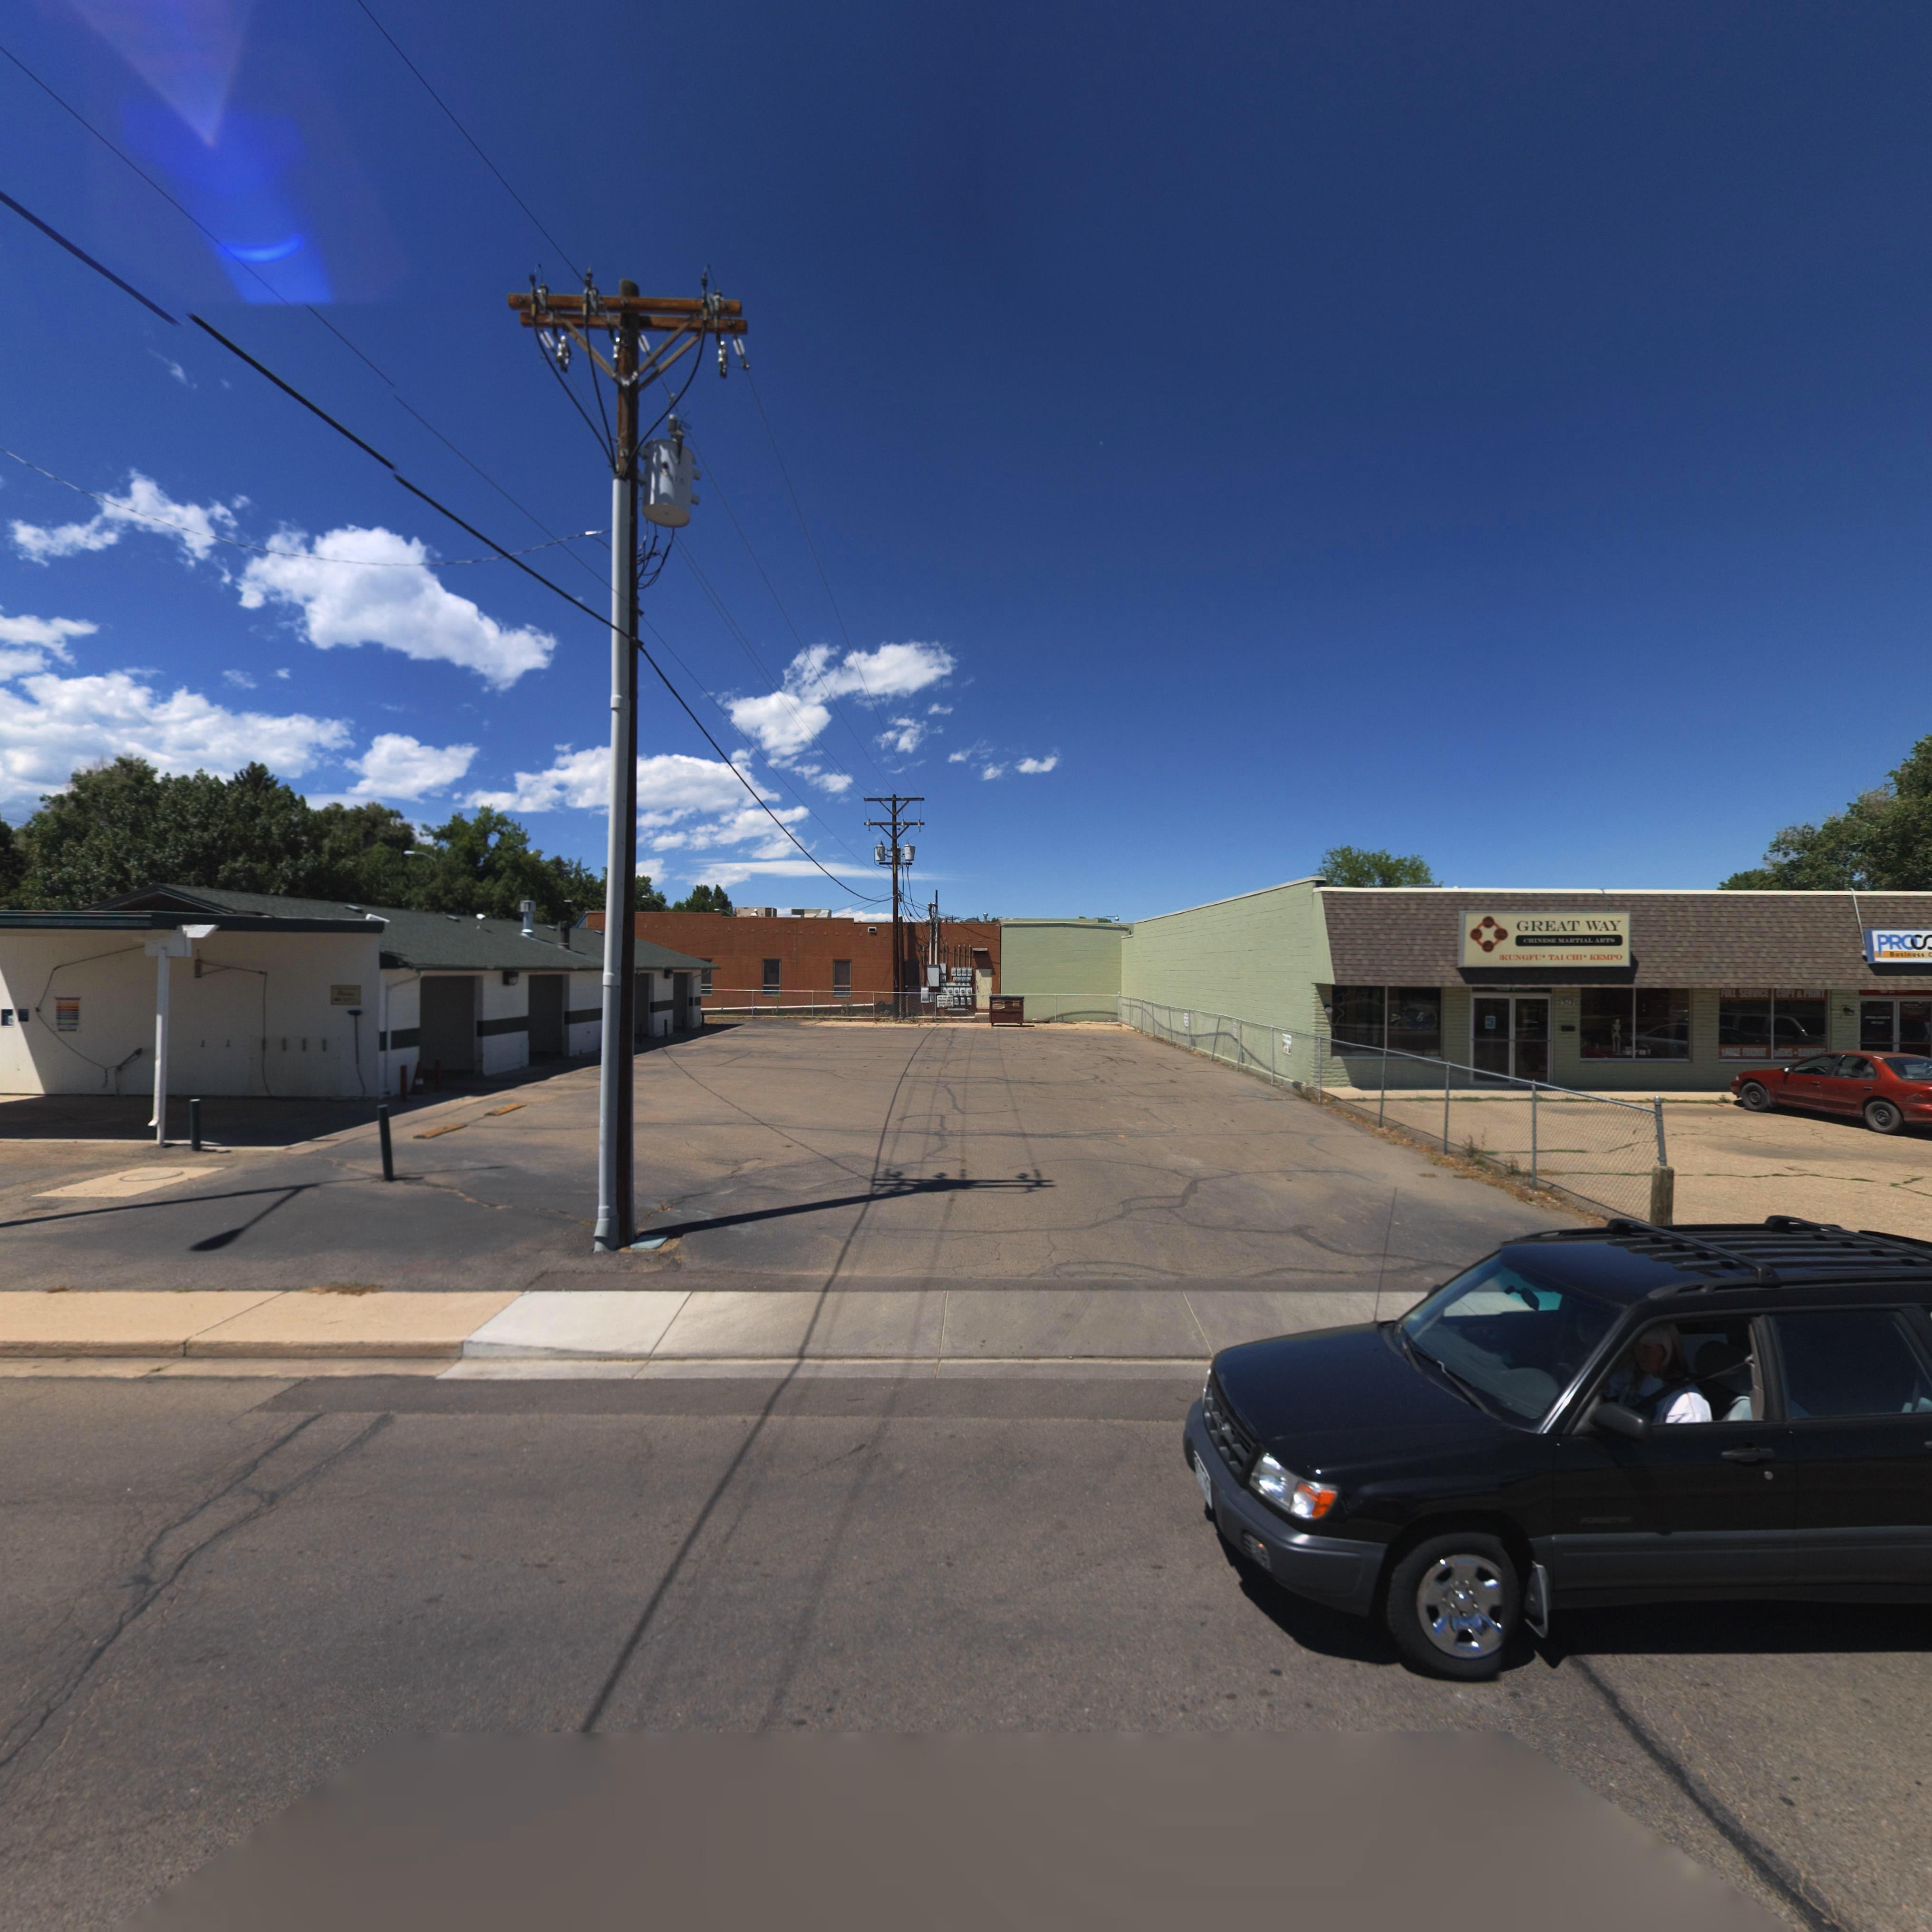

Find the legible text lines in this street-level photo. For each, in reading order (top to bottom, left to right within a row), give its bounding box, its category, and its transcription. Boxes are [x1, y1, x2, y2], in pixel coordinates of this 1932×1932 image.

[1516, 919, 1622, 932] BusinessName: GREAT WAY
[1876, 934, 1923, 956] BusinessName: PROC
[1561, 999, 1575, 1006] StreetNumber: 512